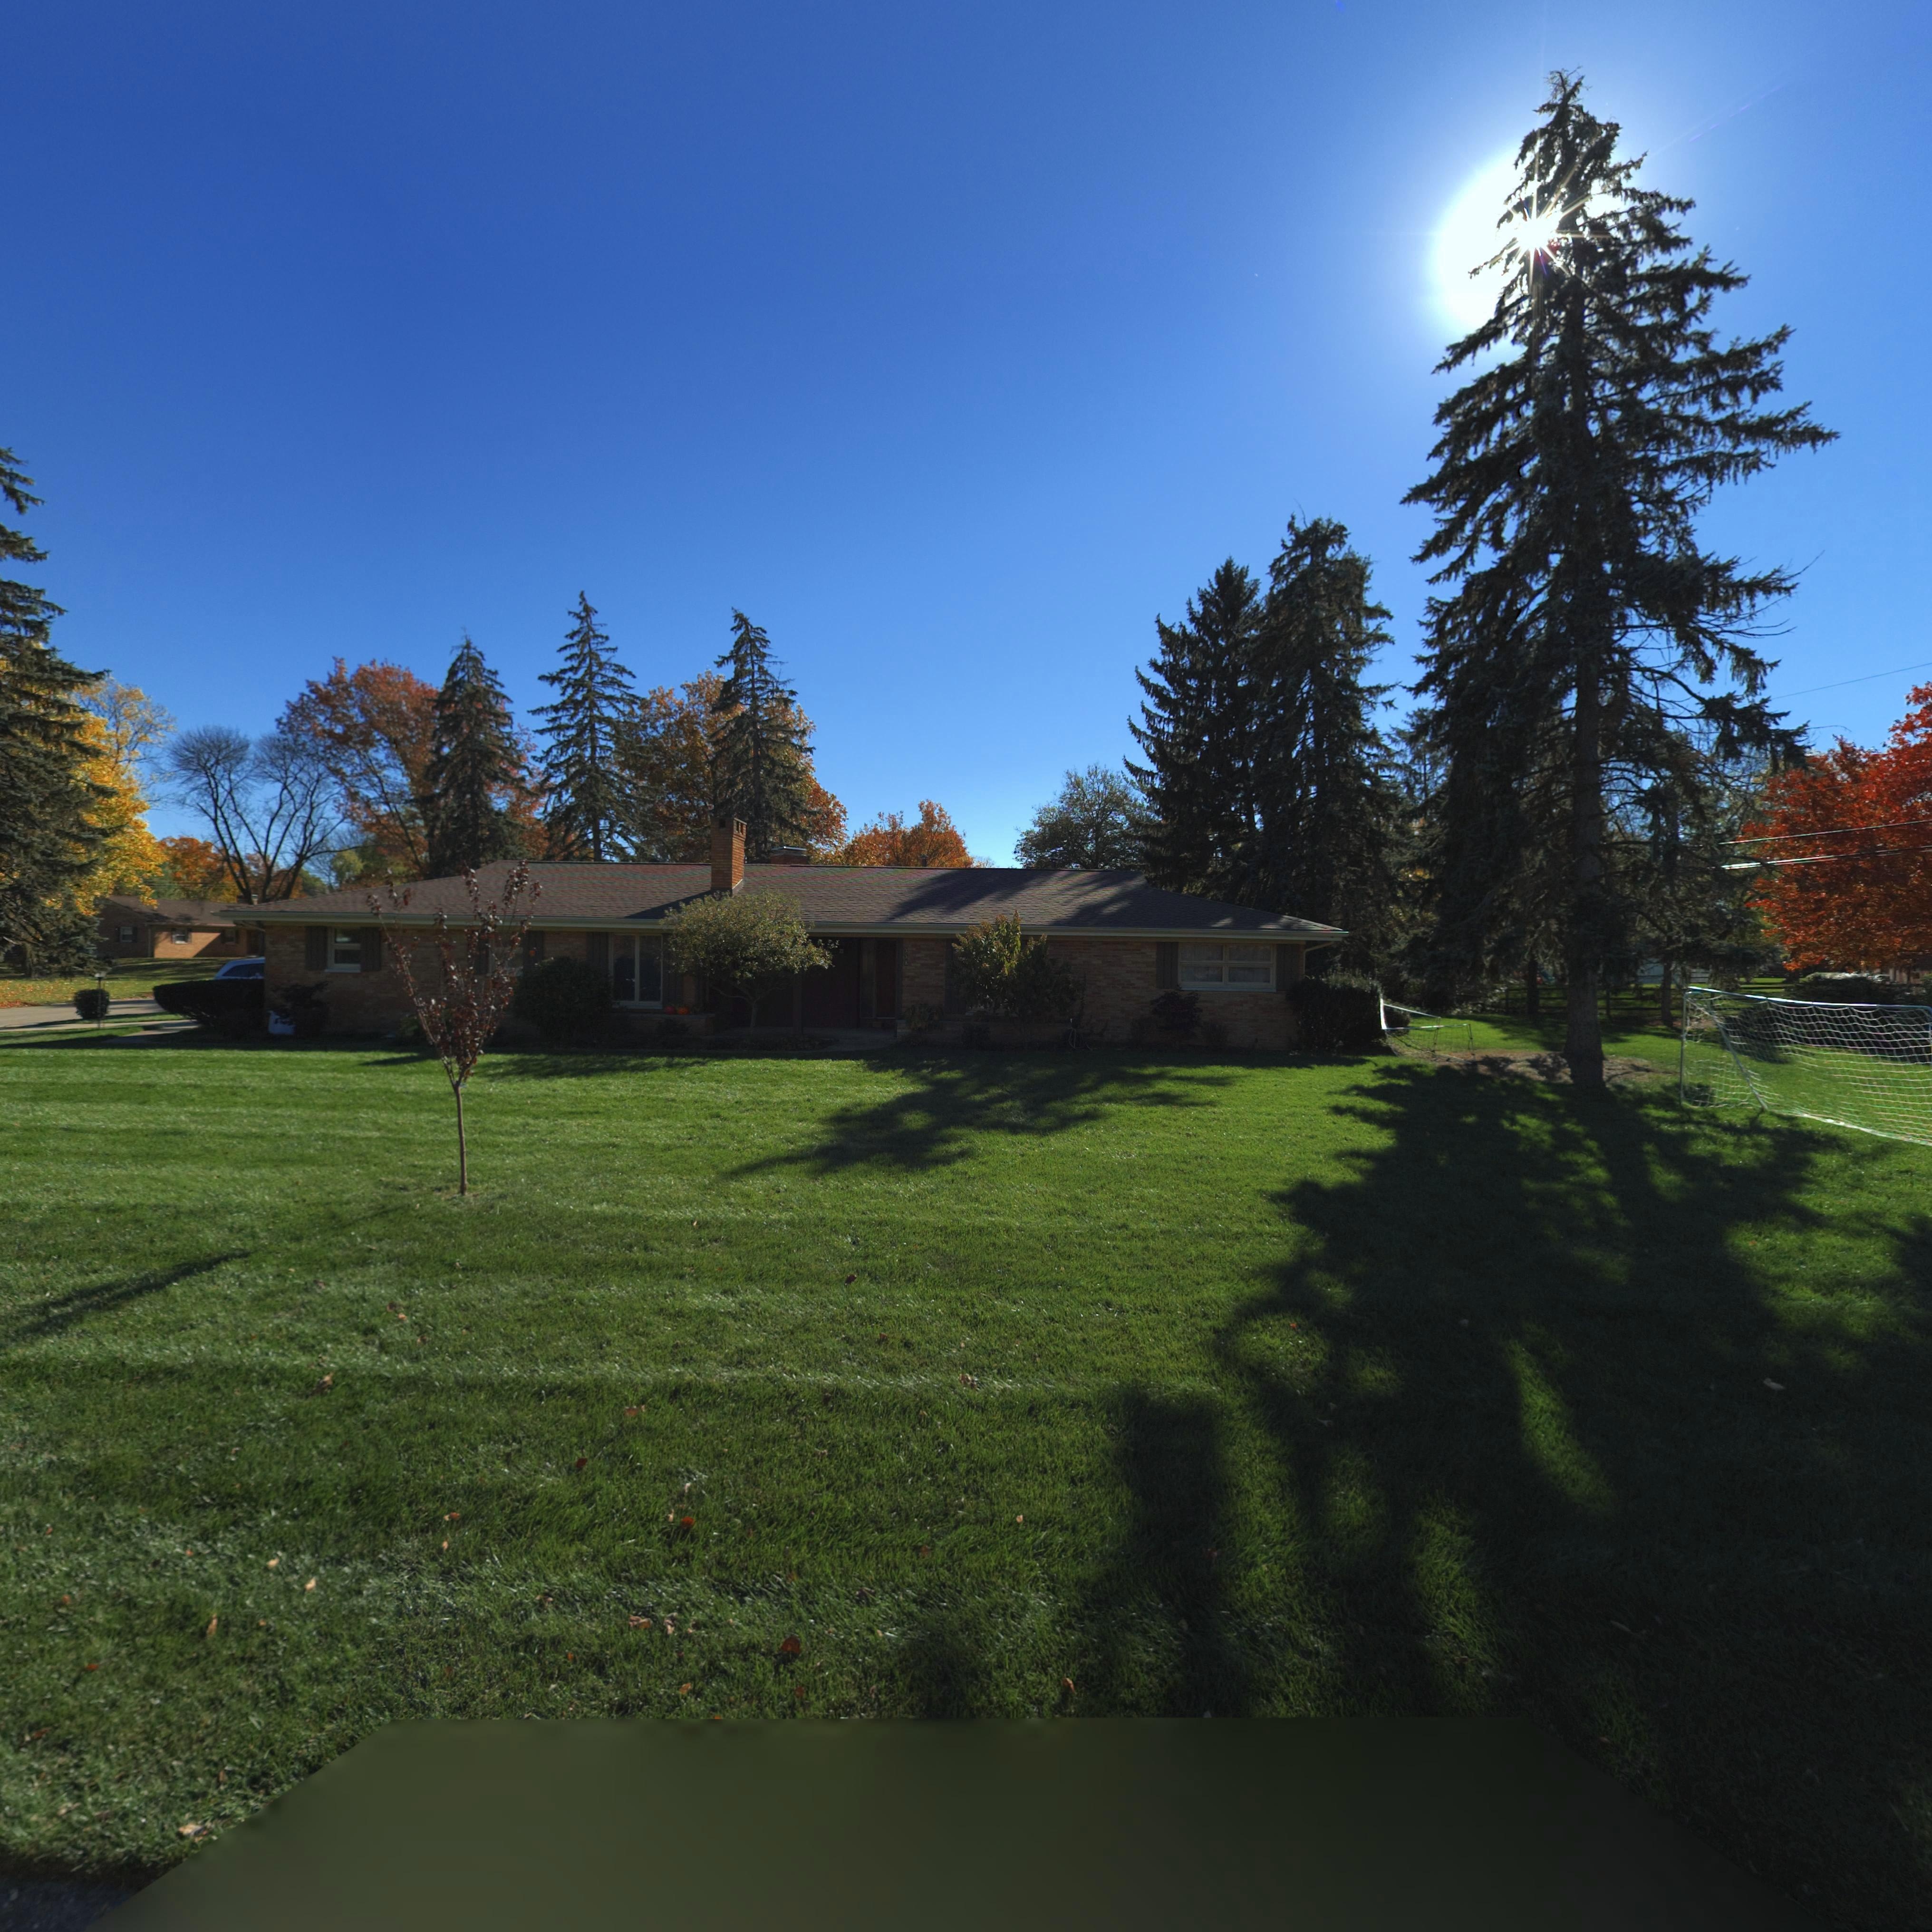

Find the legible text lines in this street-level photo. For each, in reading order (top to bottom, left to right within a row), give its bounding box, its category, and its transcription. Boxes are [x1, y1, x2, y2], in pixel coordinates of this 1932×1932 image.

[904, 948, 908, 966] StreetNumber: 338